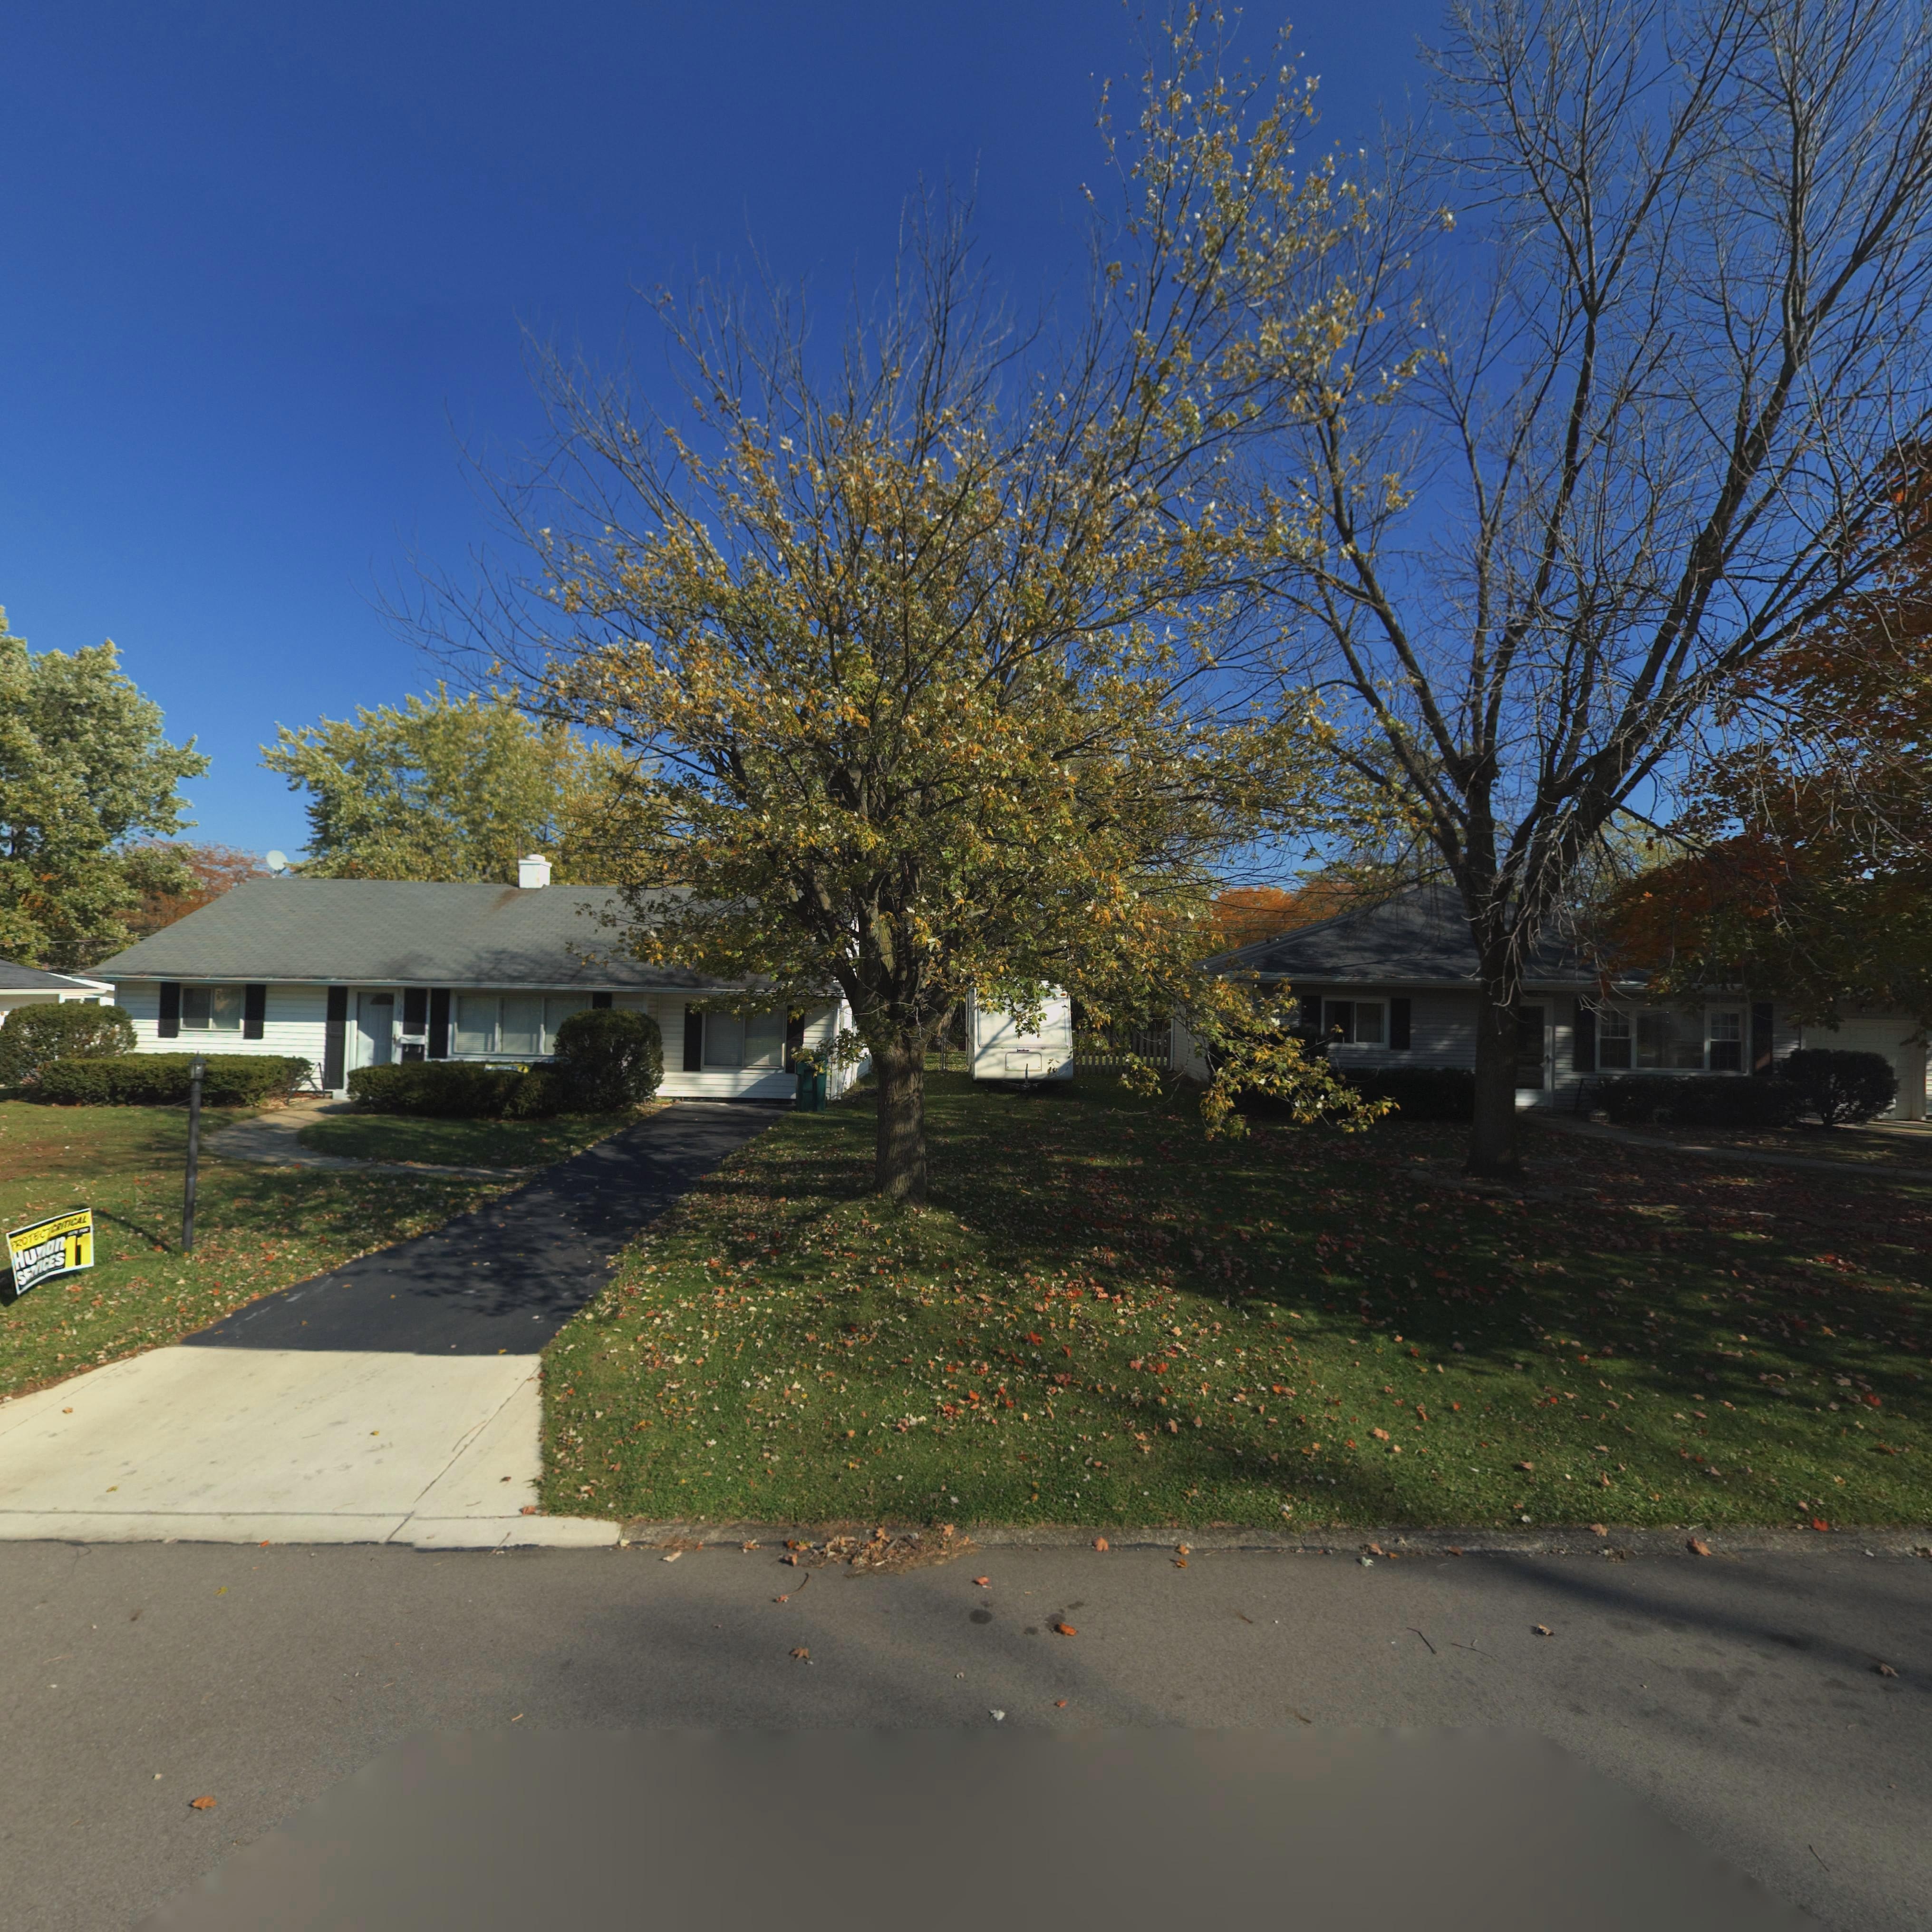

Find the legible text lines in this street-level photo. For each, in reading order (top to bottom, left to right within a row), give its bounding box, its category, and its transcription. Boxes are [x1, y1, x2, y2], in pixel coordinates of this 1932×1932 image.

[8, 1212, 89, 1254] None: PROTEC* CRITICAL
[10, 1234, 67, 1274] None: Hu*an
[14, 1250, 67, 1287] None: SERVICES